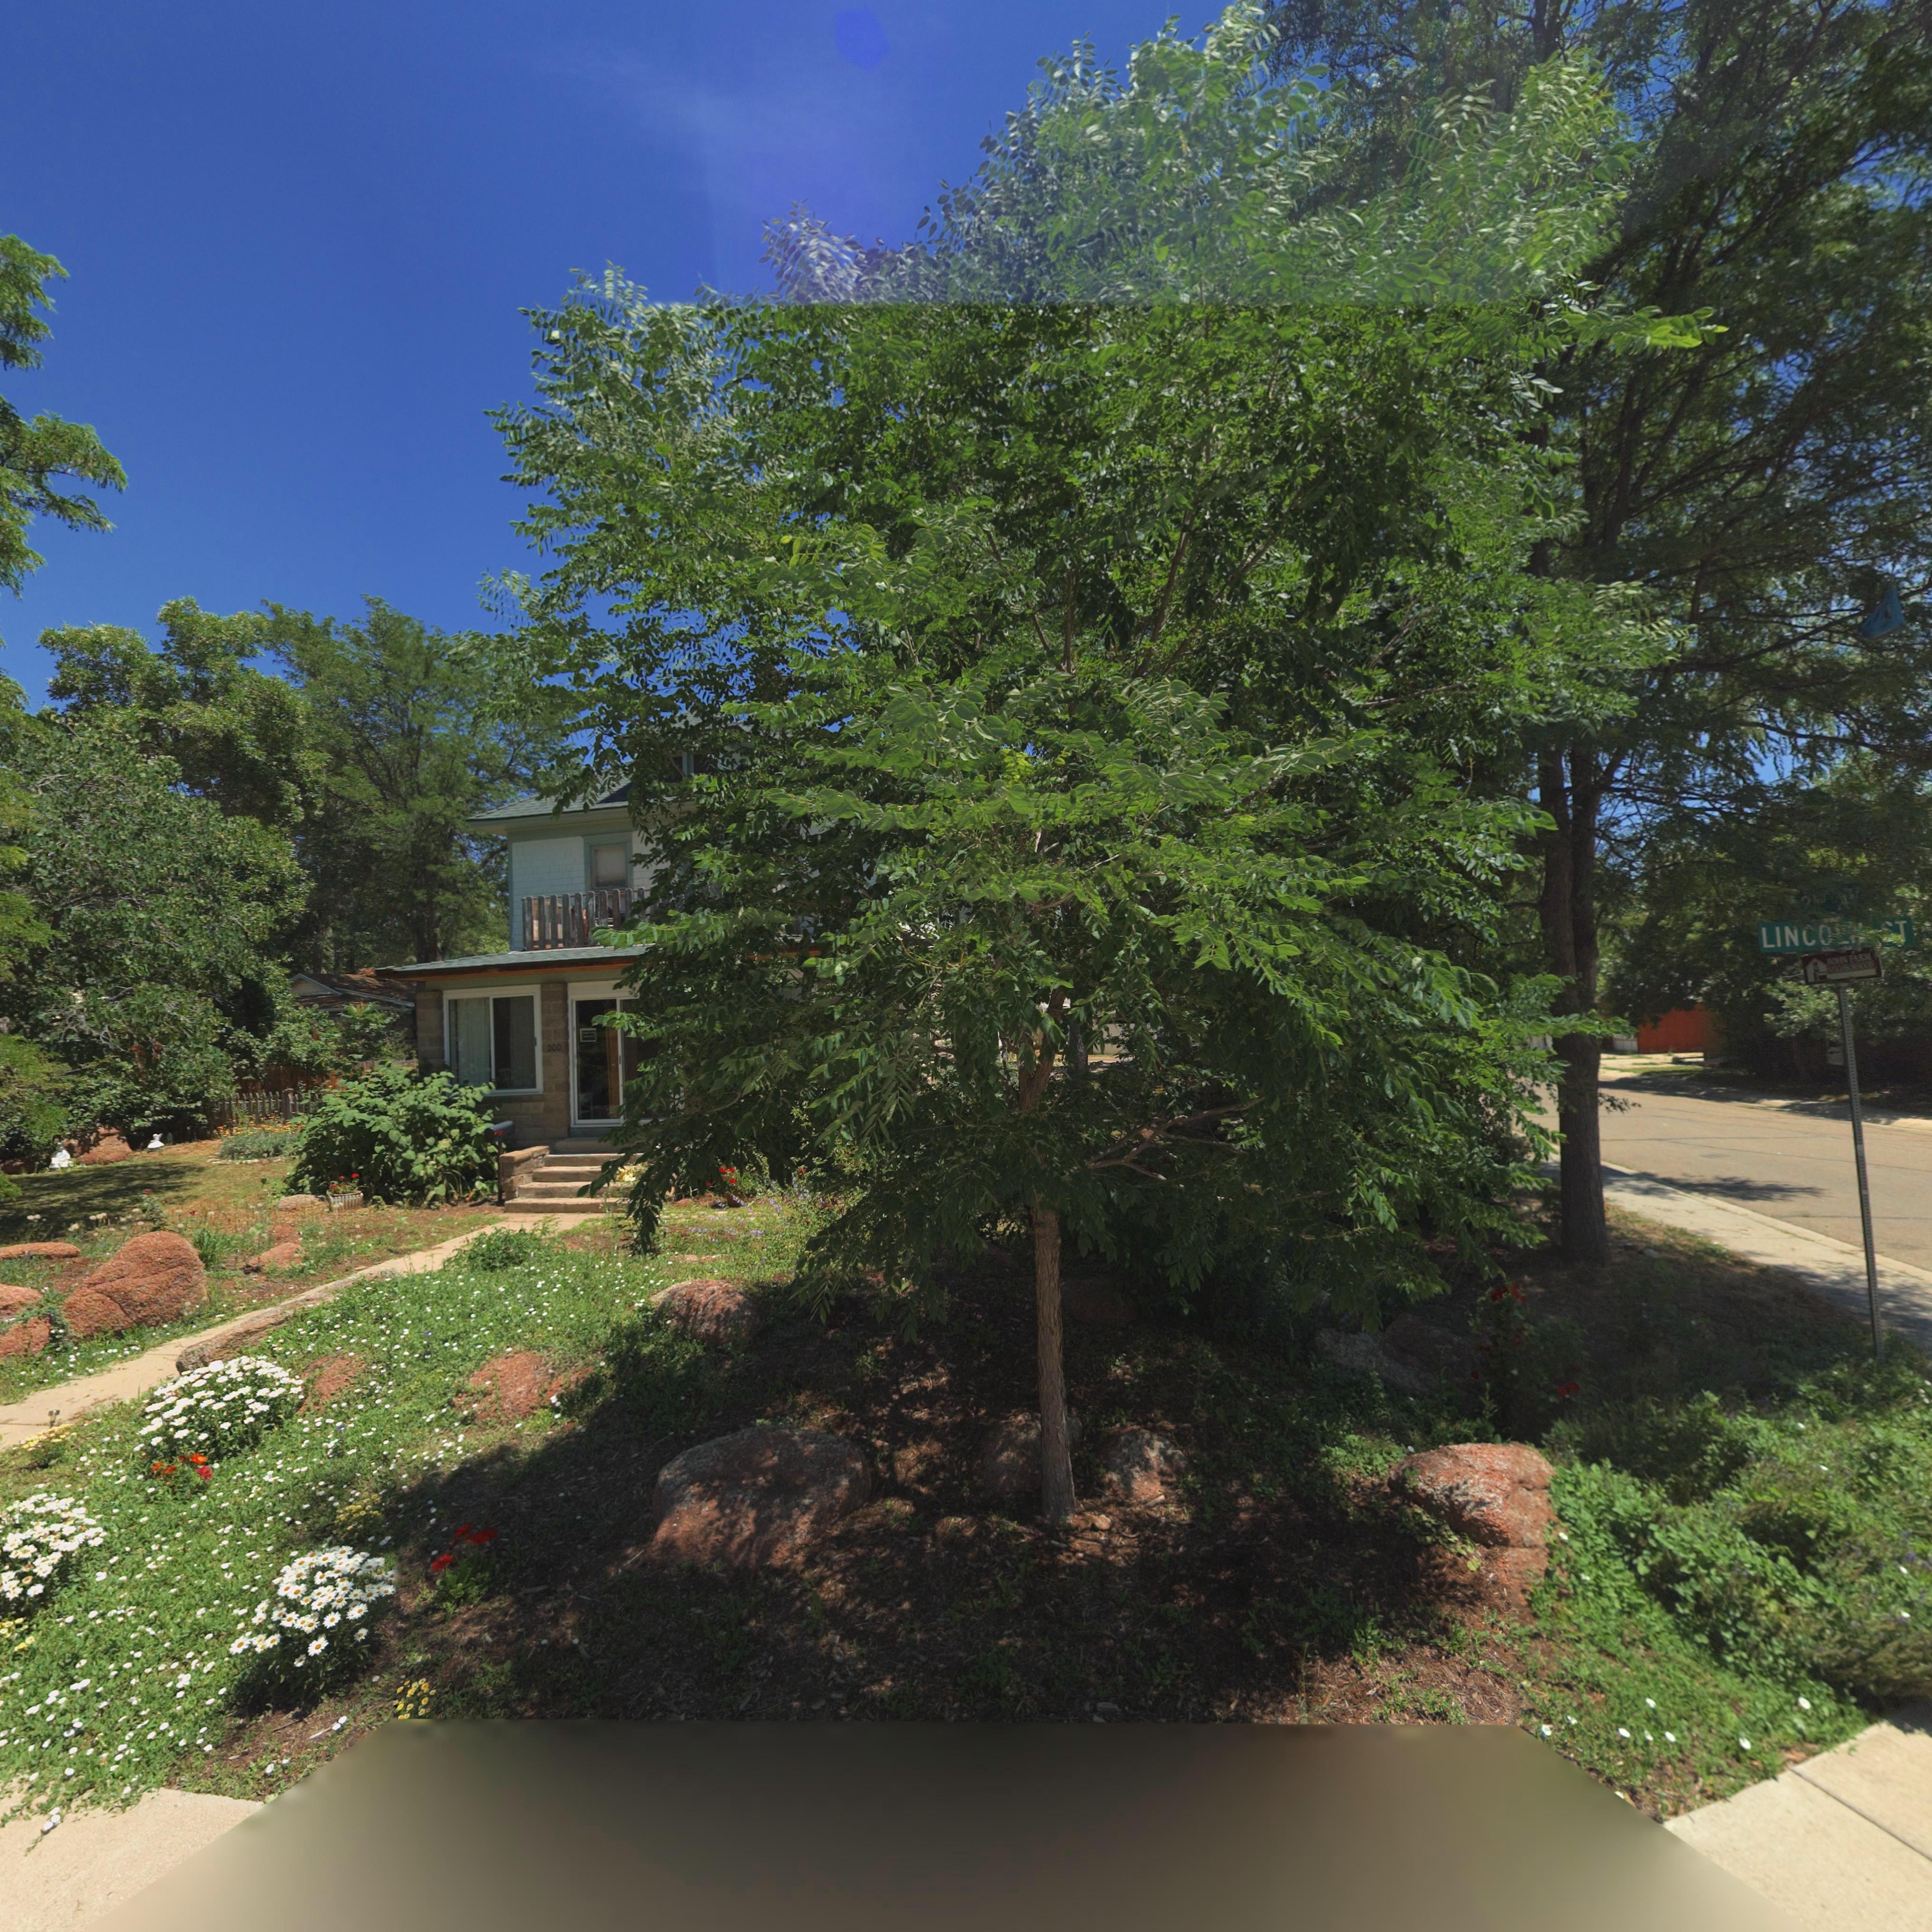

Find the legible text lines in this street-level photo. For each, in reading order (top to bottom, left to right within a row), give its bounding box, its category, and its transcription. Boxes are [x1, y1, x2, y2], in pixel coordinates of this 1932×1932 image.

[1761, 920, 1910, 949] StreetName: LINC*** *T
[547, 1044, 561, 1052] StreetNumber: 200